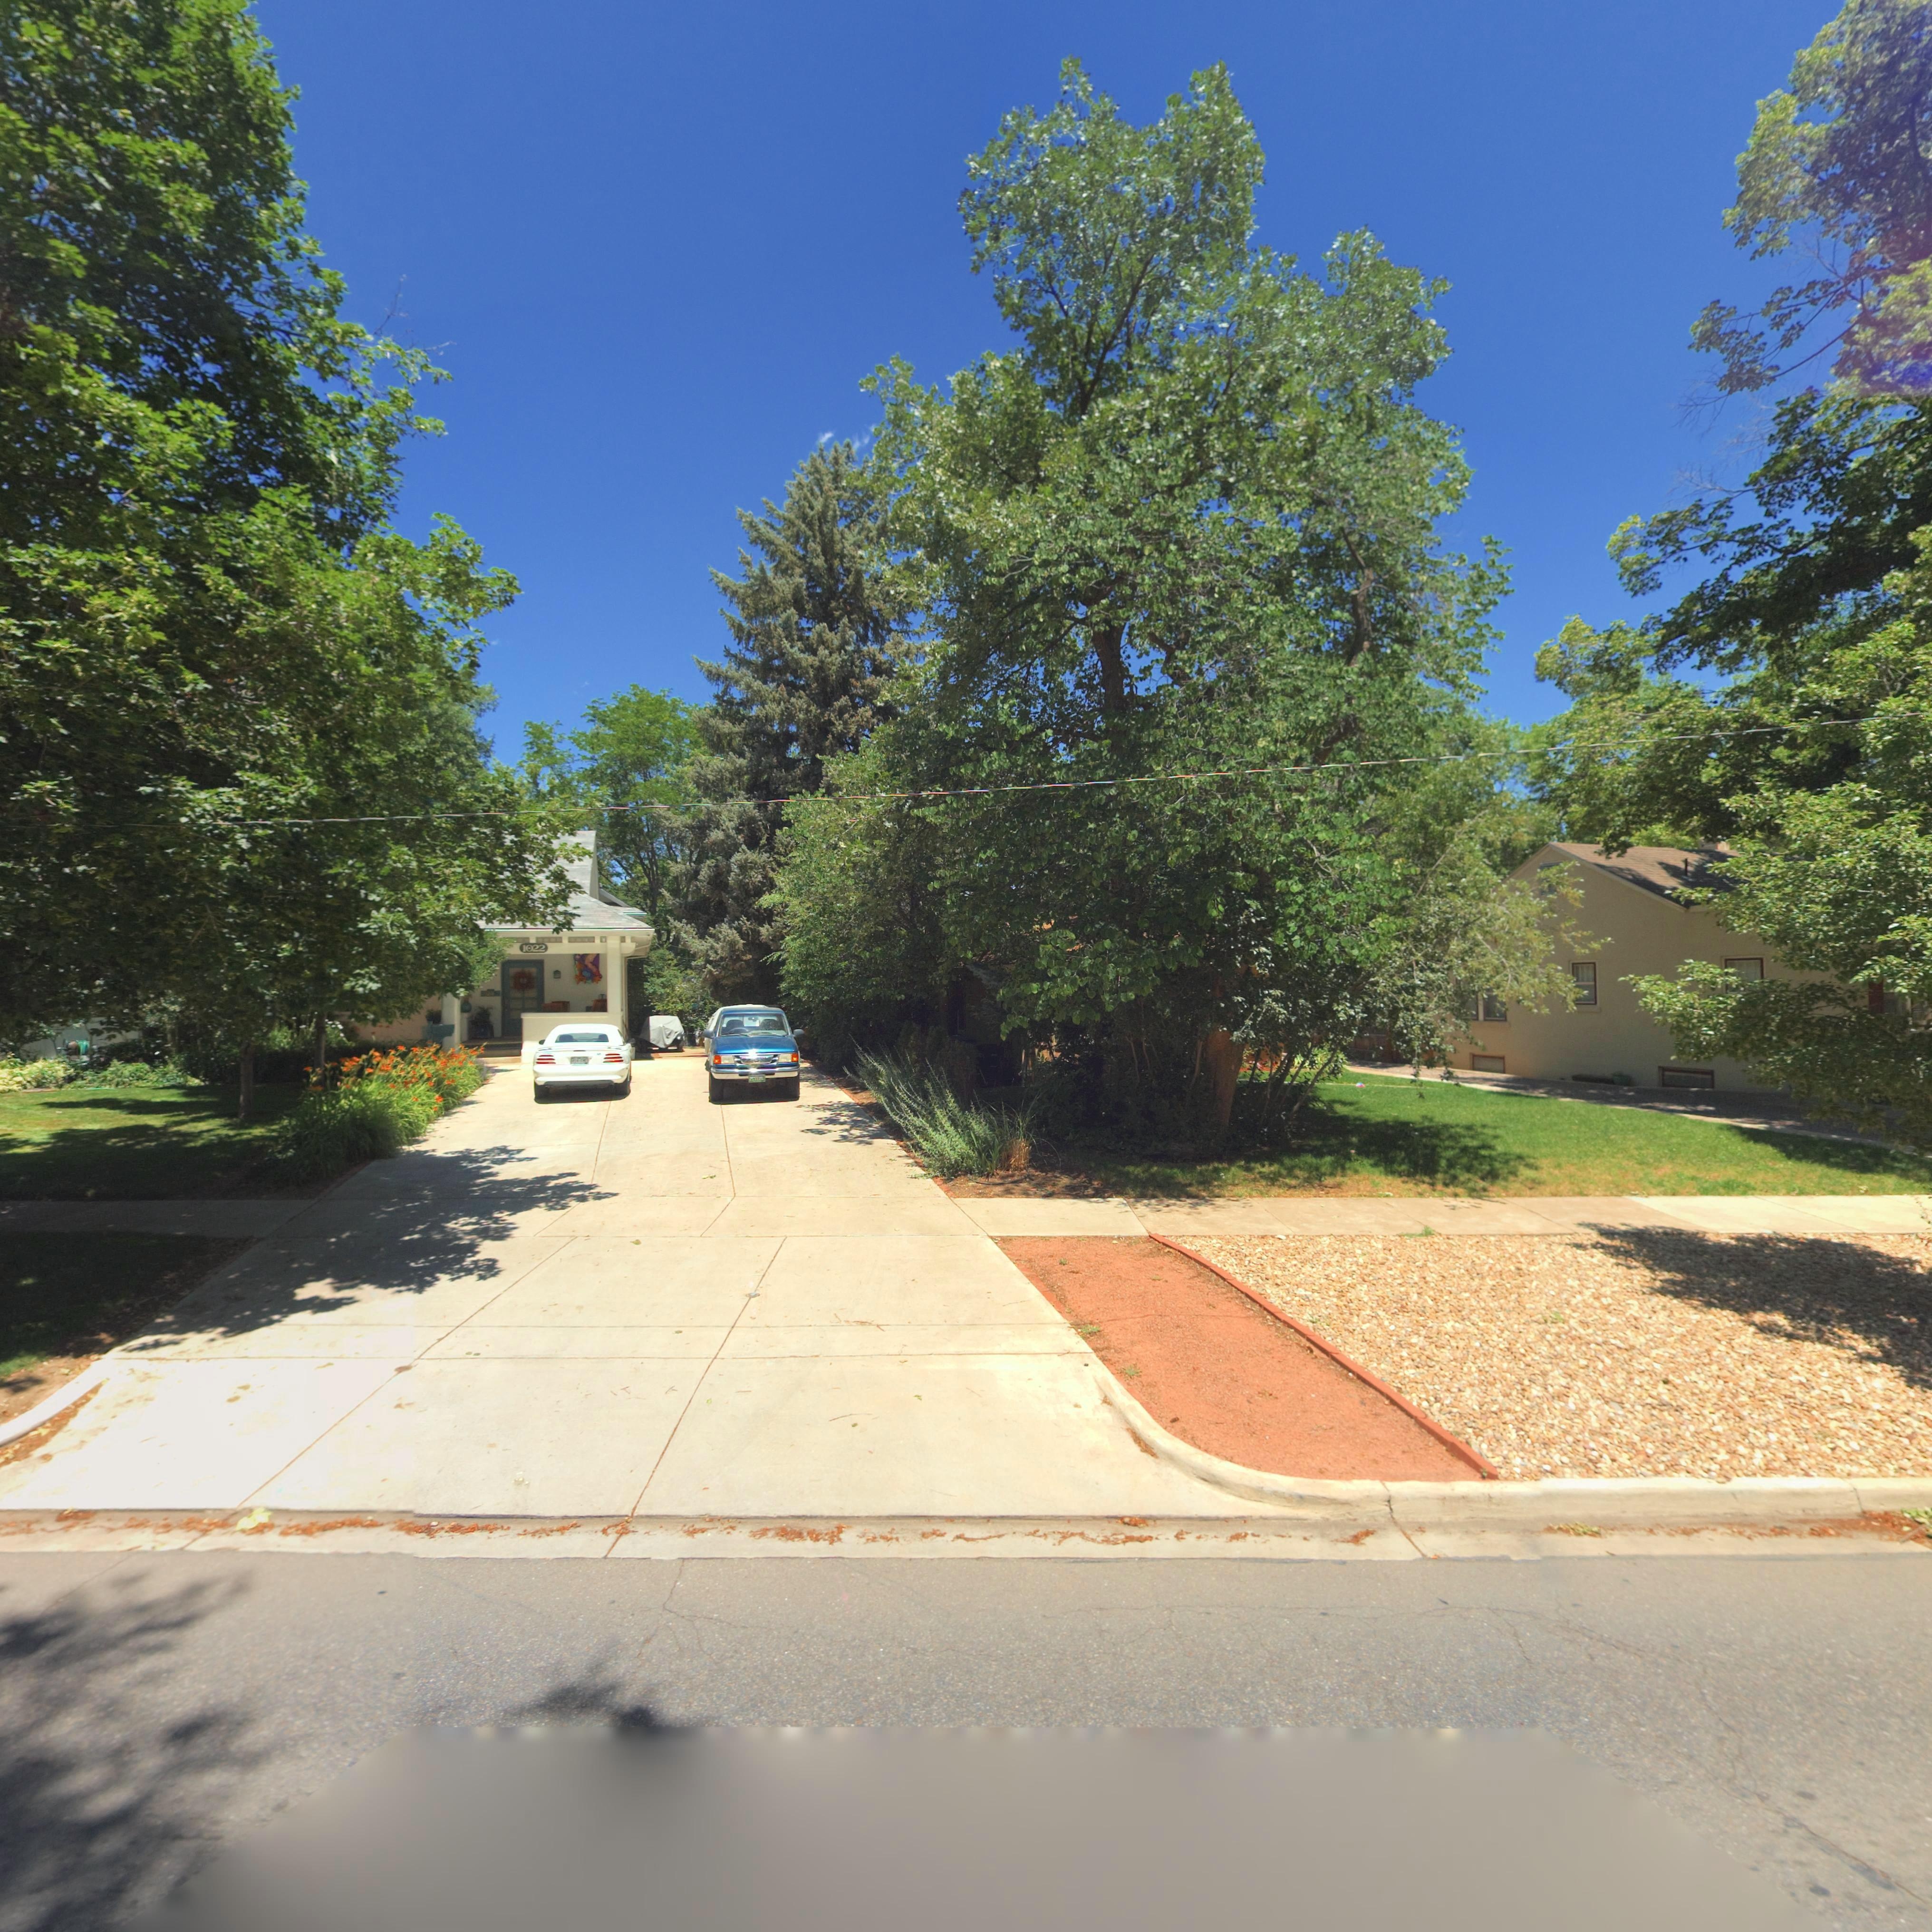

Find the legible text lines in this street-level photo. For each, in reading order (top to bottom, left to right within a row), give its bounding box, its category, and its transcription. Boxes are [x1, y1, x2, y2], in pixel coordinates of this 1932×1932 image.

[522, 944, 545, 952] StreetNumber: 1022